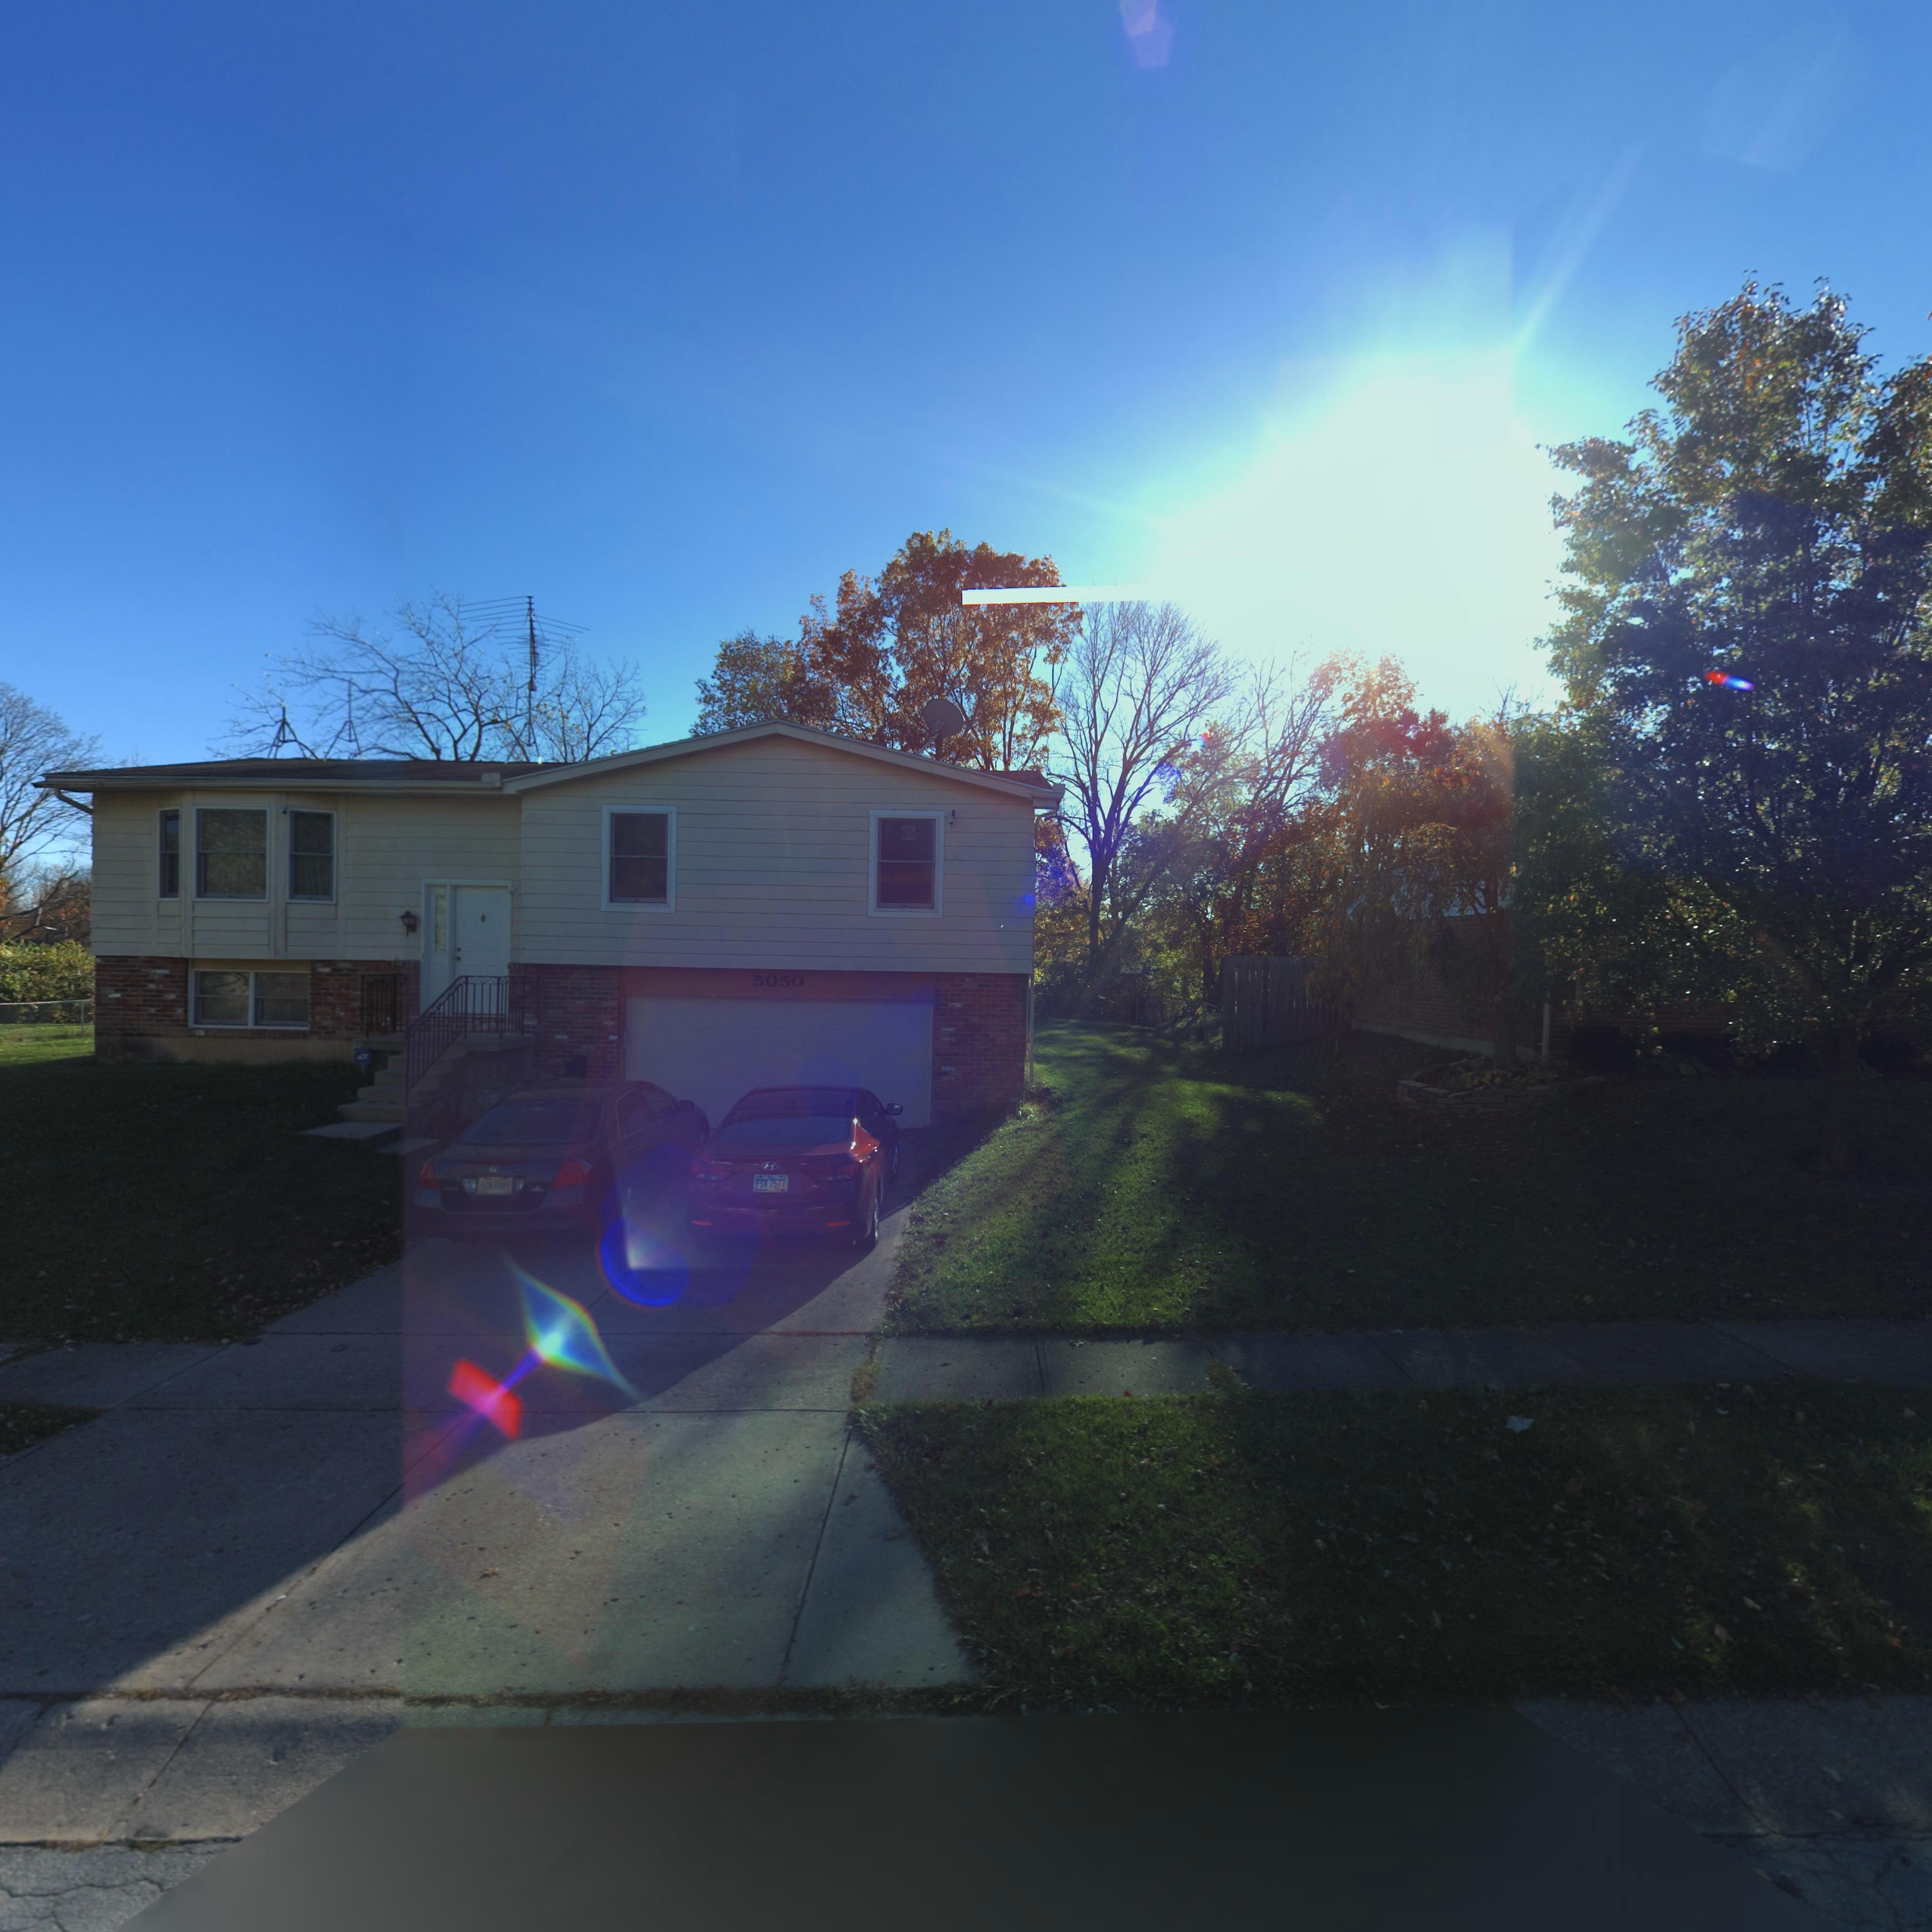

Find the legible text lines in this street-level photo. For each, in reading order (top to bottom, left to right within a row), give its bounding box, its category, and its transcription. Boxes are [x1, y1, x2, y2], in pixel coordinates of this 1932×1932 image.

[753, 974, 804, 987] StreetNumber: 5050